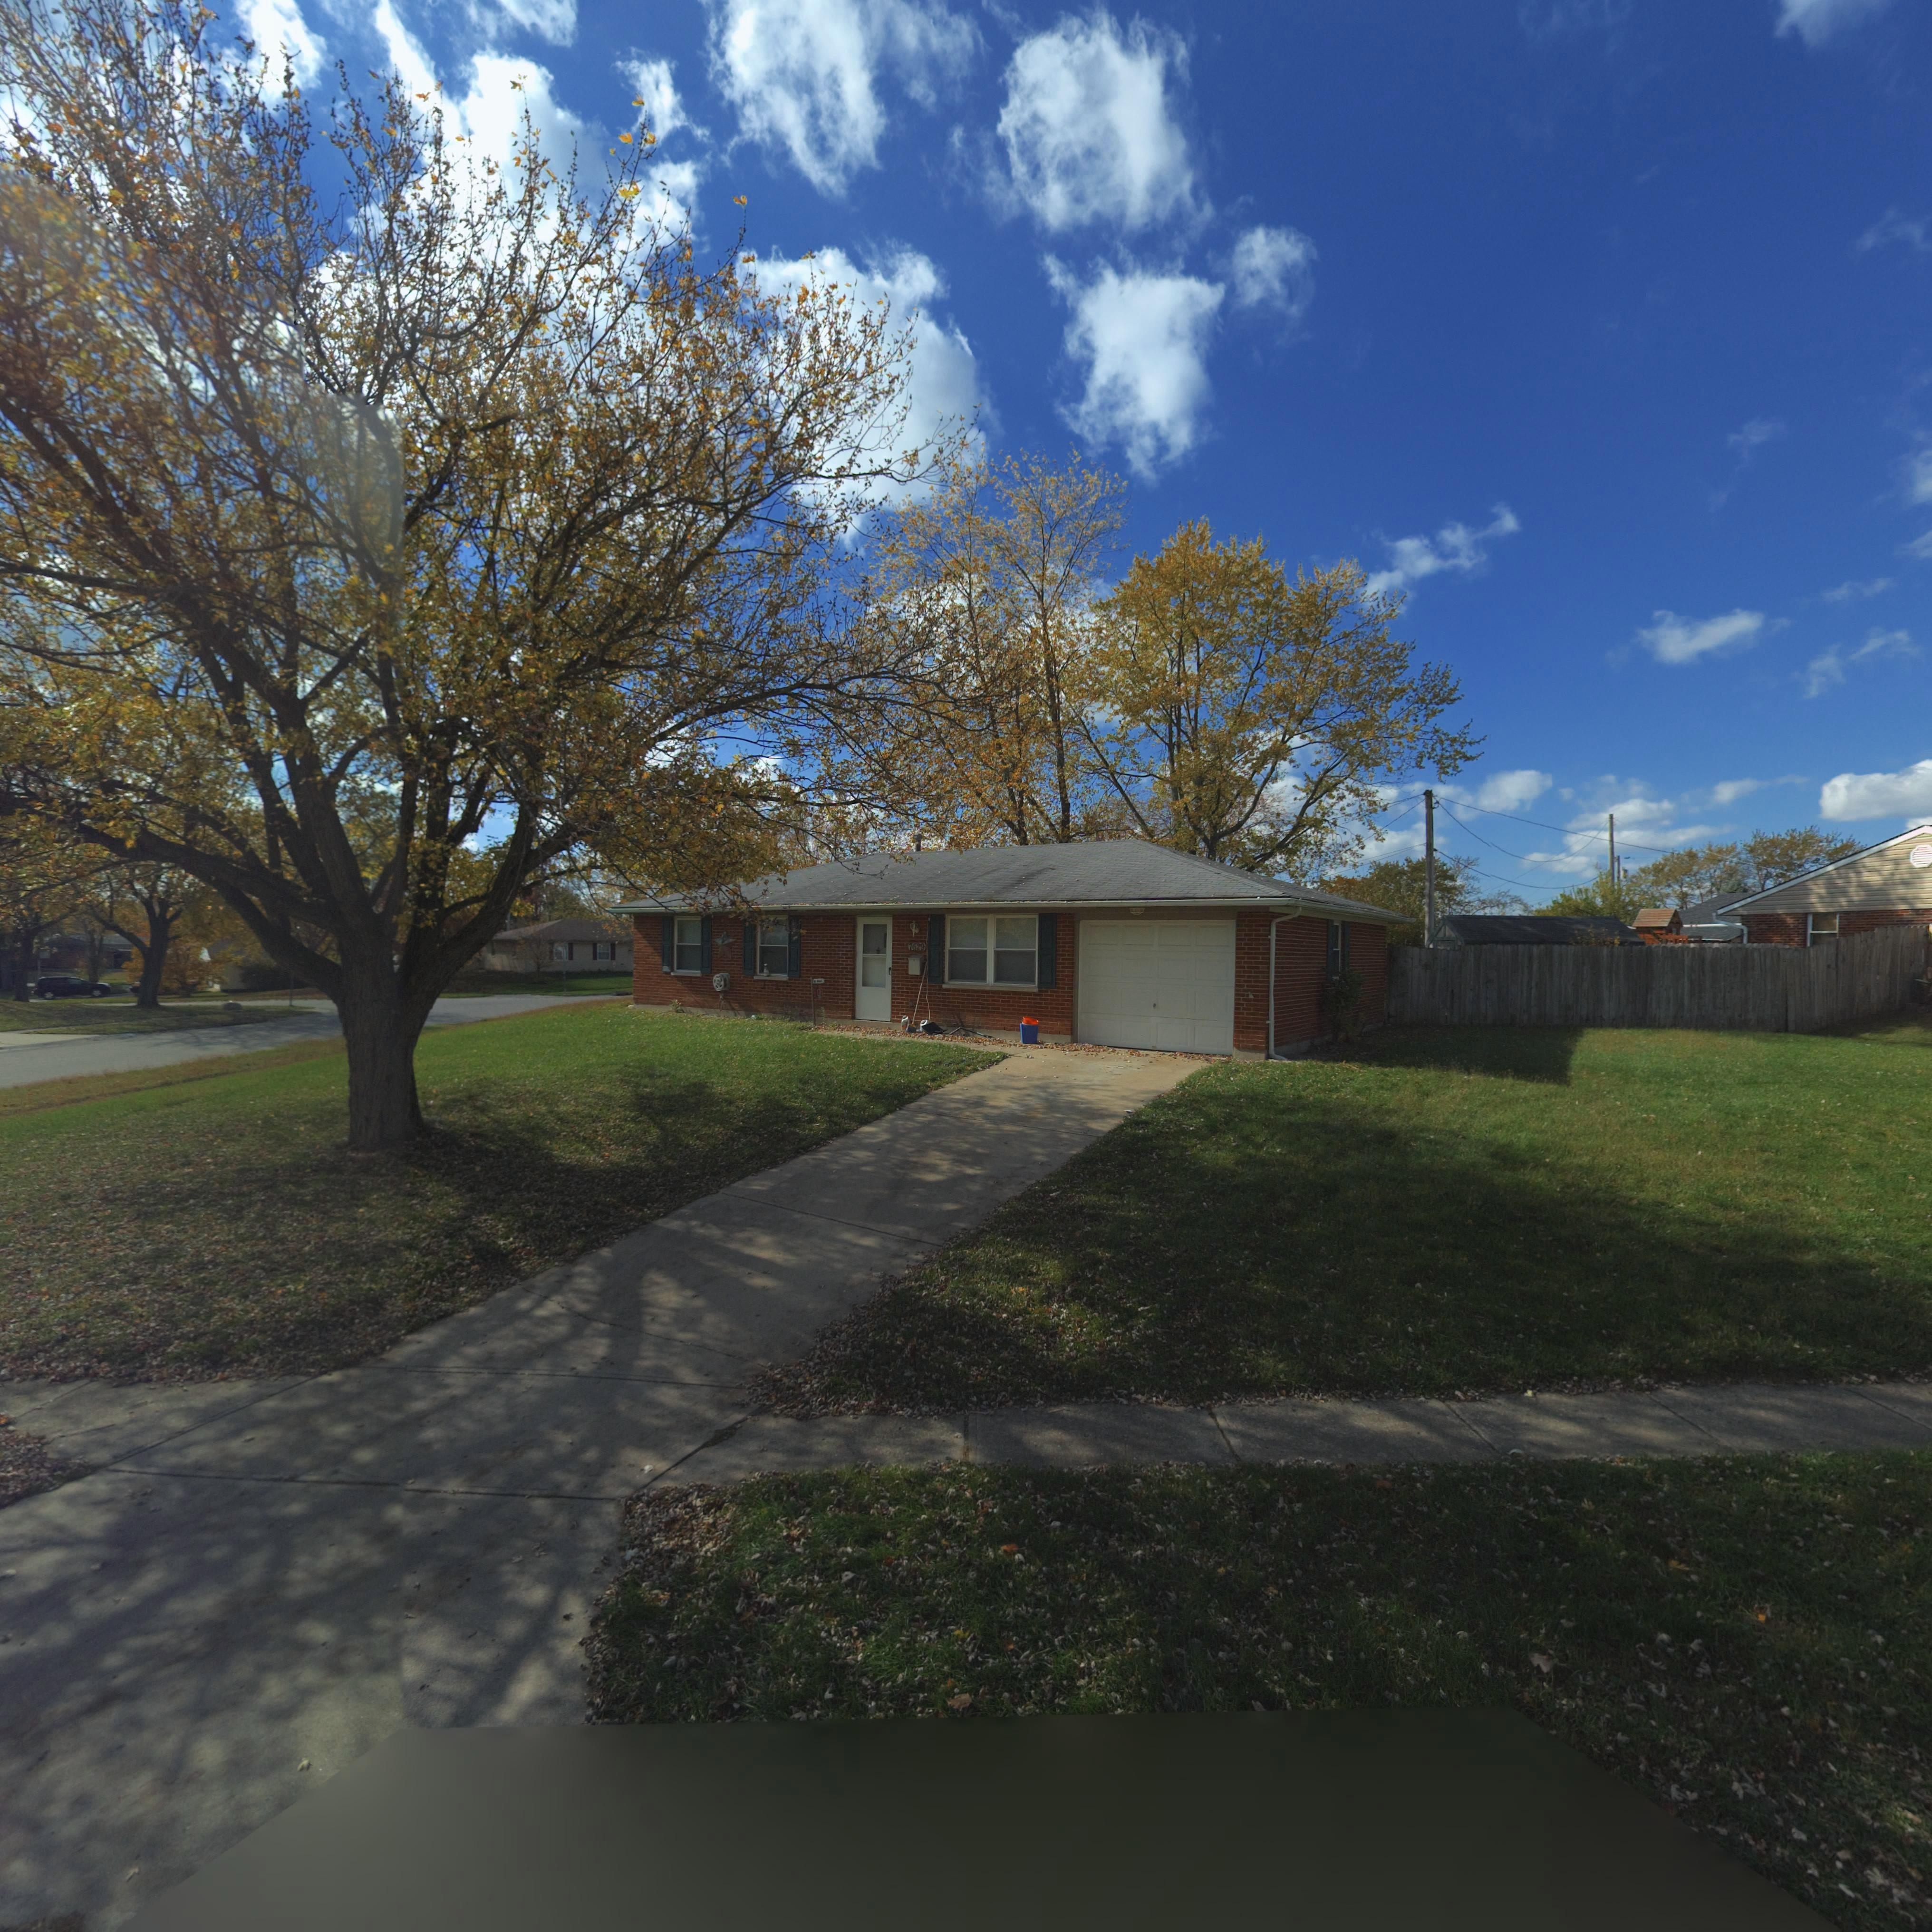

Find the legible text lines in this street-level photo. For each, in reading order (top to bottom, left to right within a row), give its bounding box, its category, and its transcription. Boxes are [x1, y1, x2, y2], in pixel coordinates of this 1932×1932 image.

[908, 942, 925, 951] StreetNumber: 7629